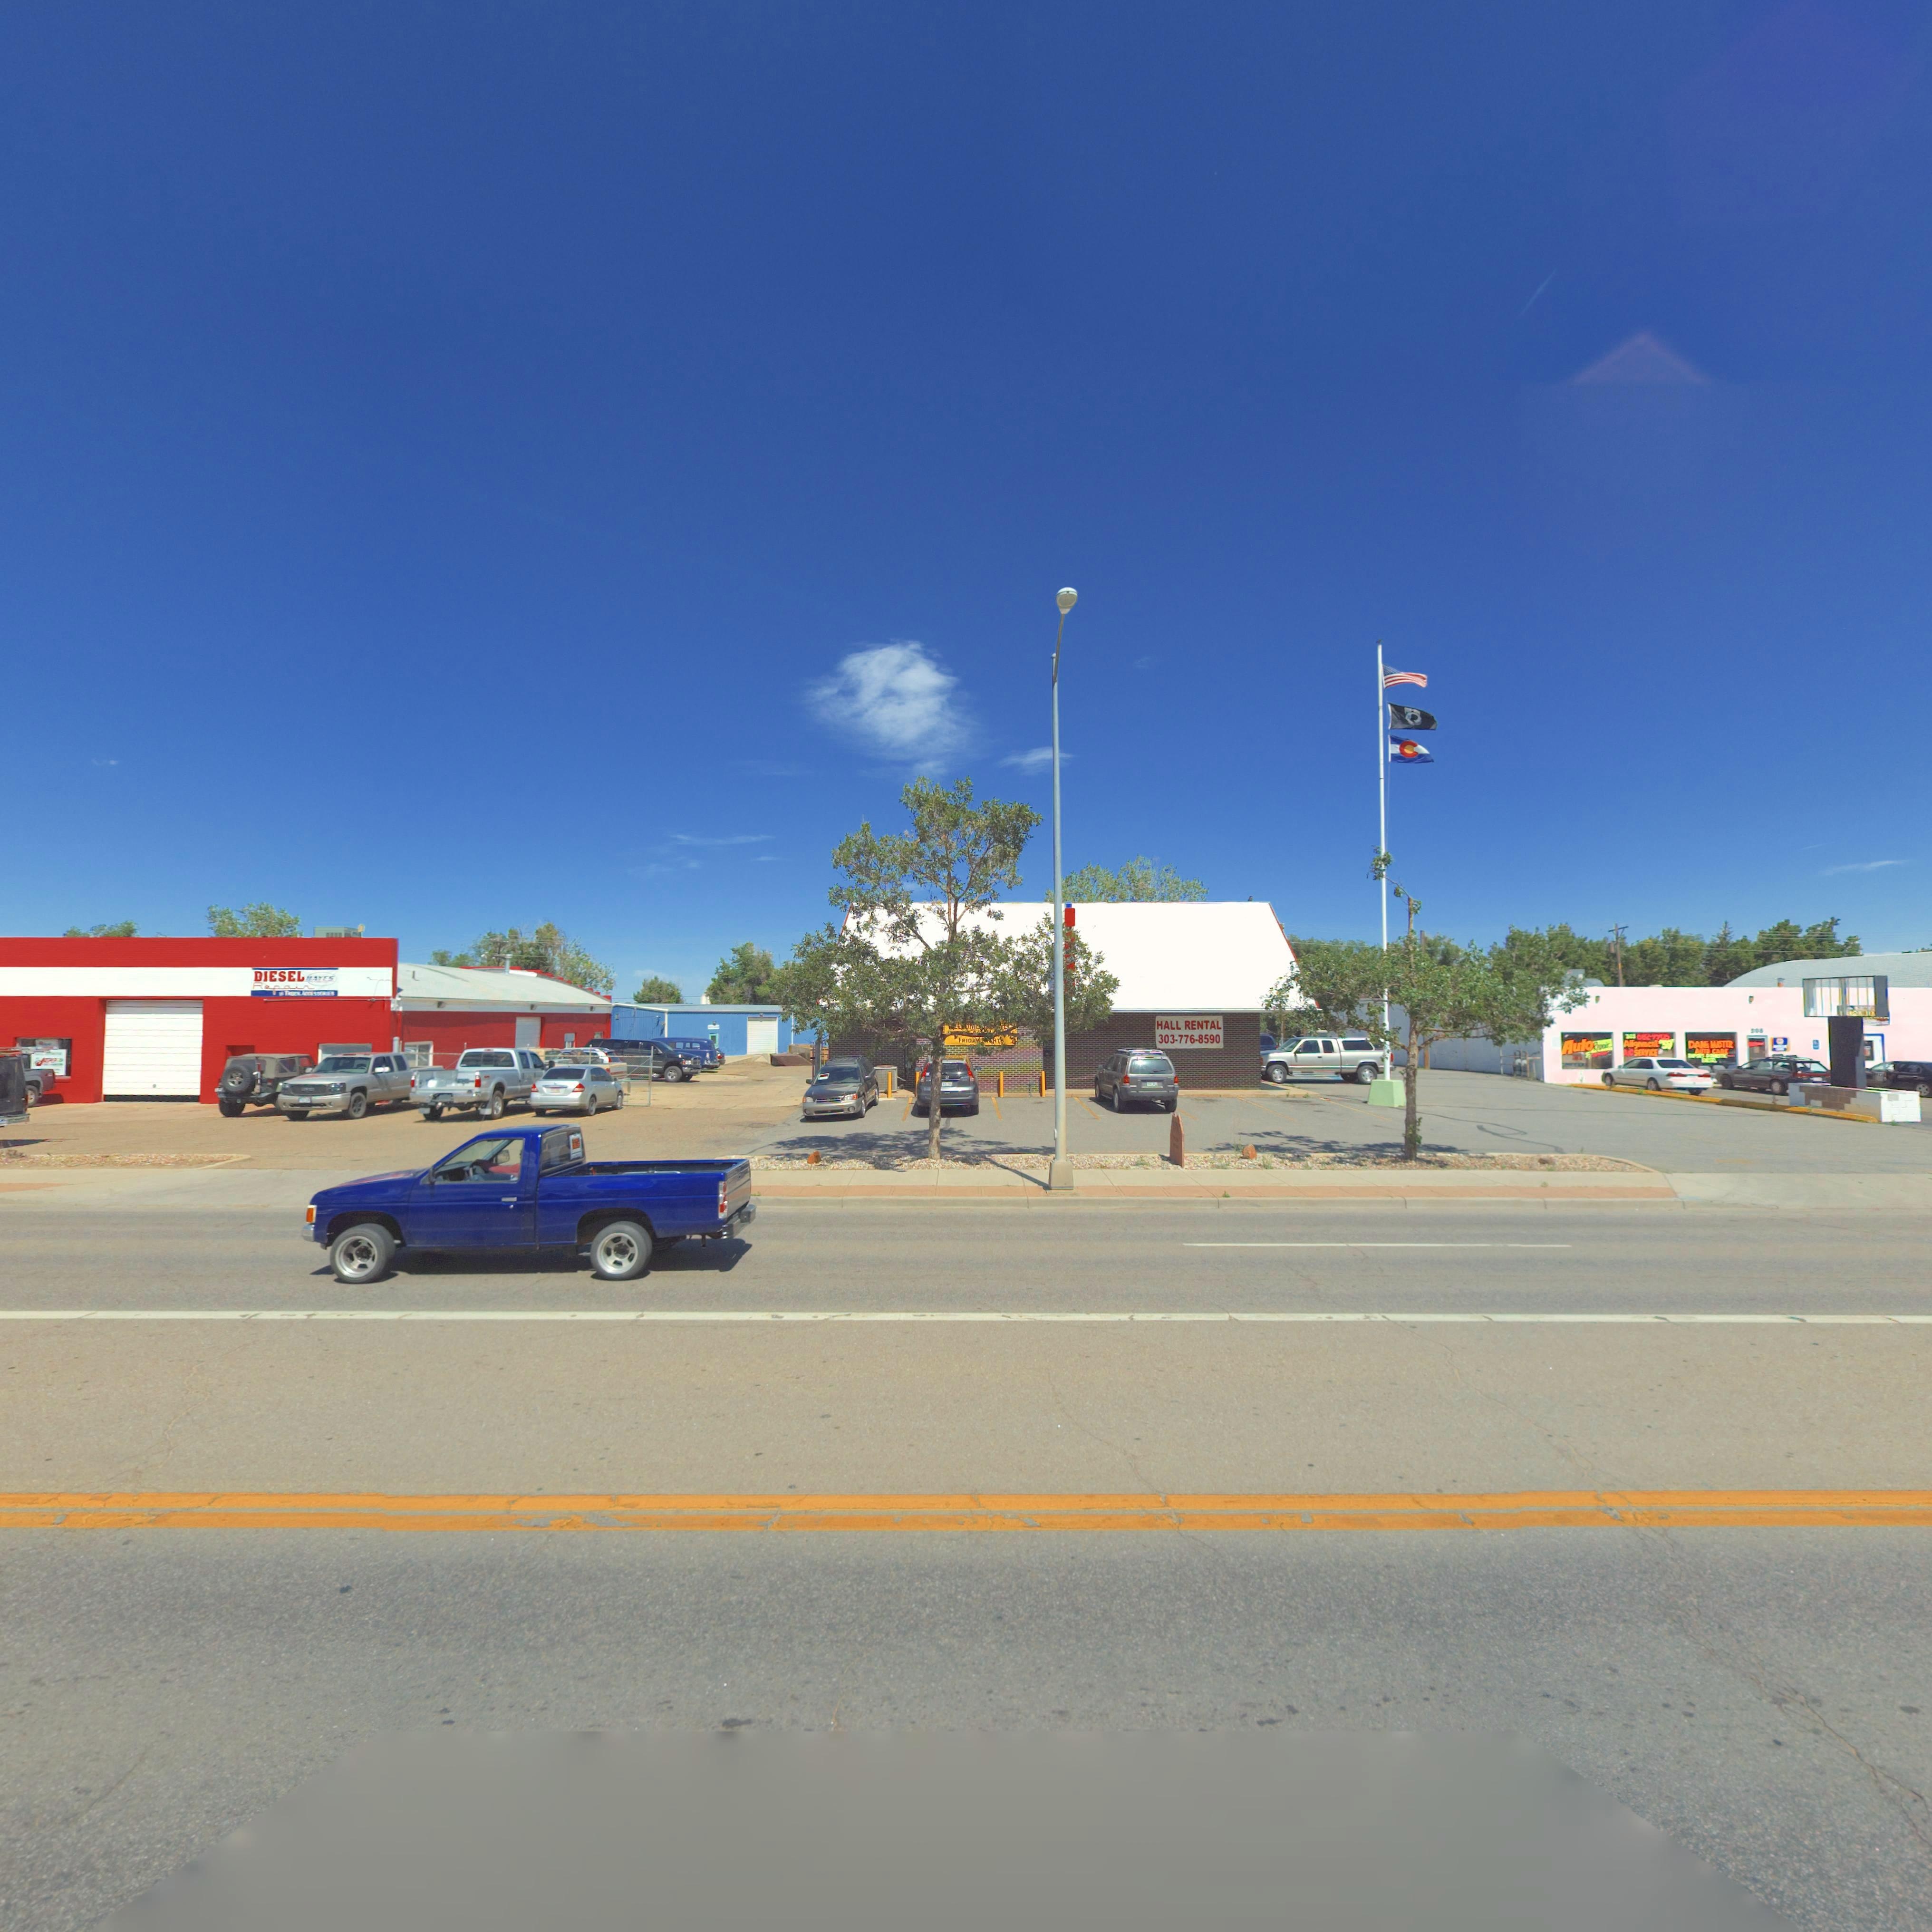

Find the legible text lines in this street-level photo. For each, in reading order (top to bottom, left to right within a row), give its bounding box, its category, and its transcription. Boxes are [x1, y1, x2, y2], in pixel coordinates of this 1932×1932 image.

[1750, 1027, 1764, 1034] None: 208